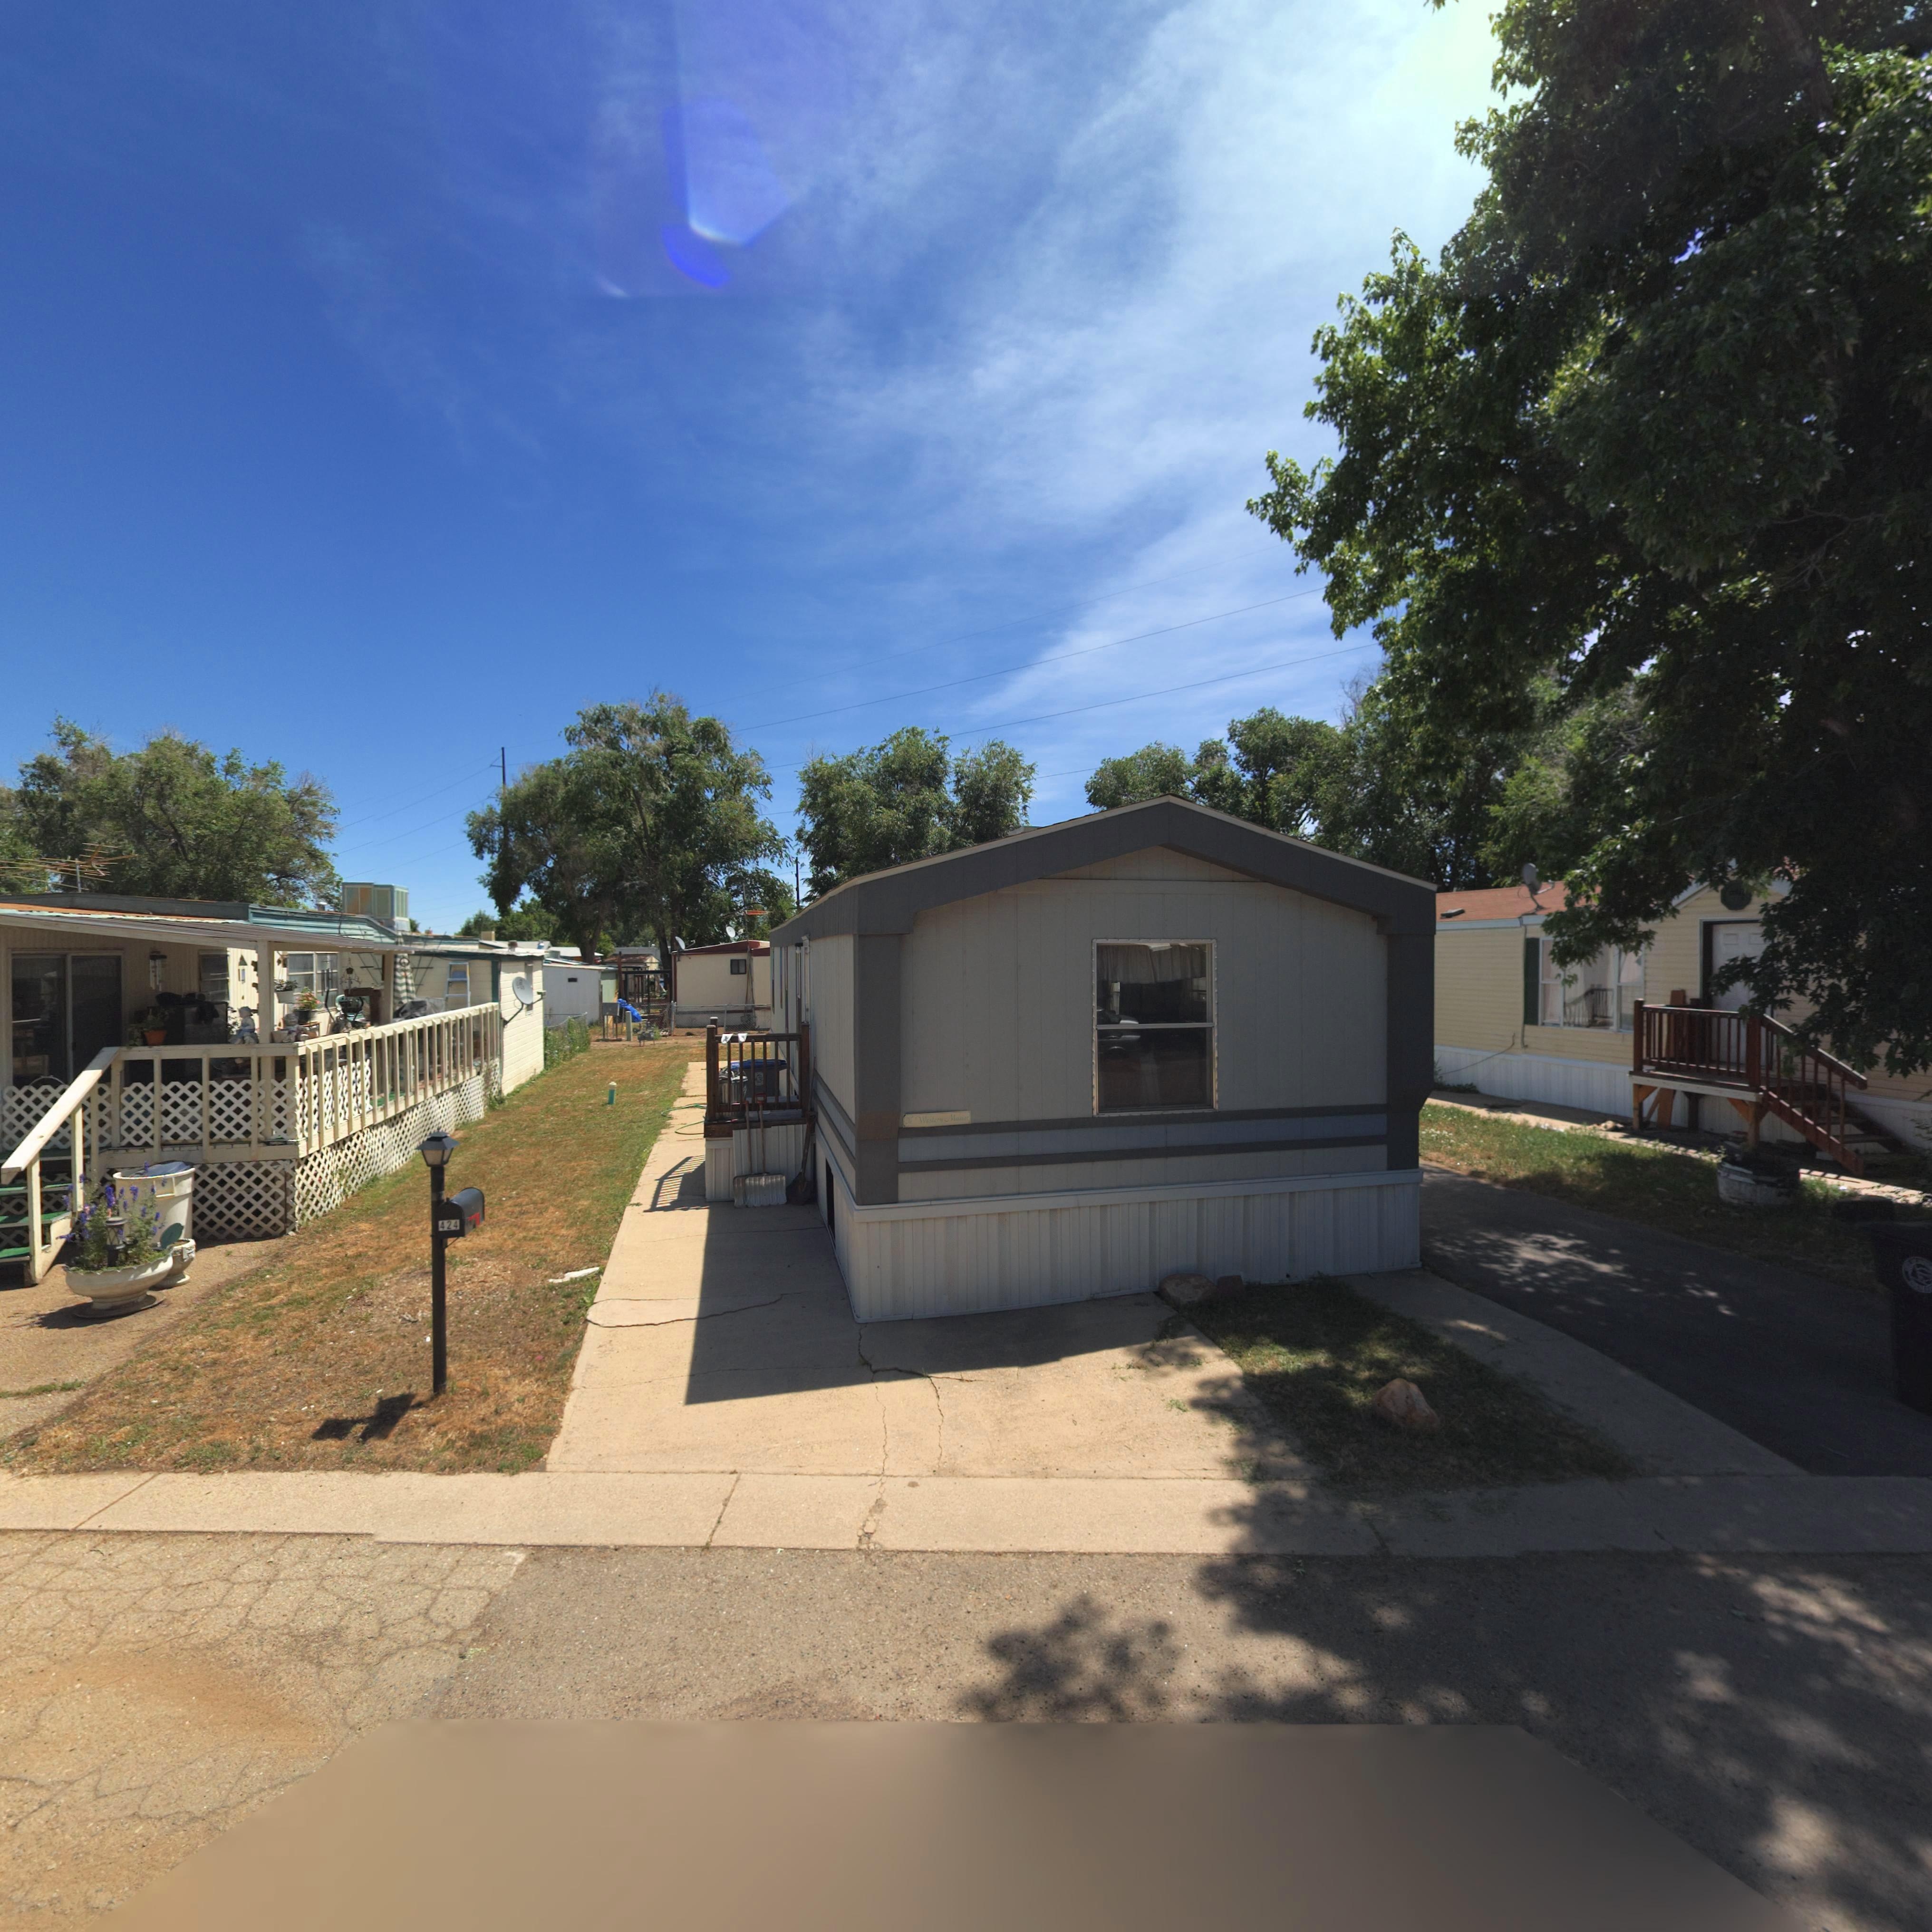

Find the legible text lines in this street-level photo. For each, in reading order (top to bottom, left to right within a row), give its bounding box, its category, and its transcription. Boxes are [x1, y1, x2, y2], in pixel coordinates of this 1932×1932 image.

[439, 1220, 458, 1230] StreetNumber: 424